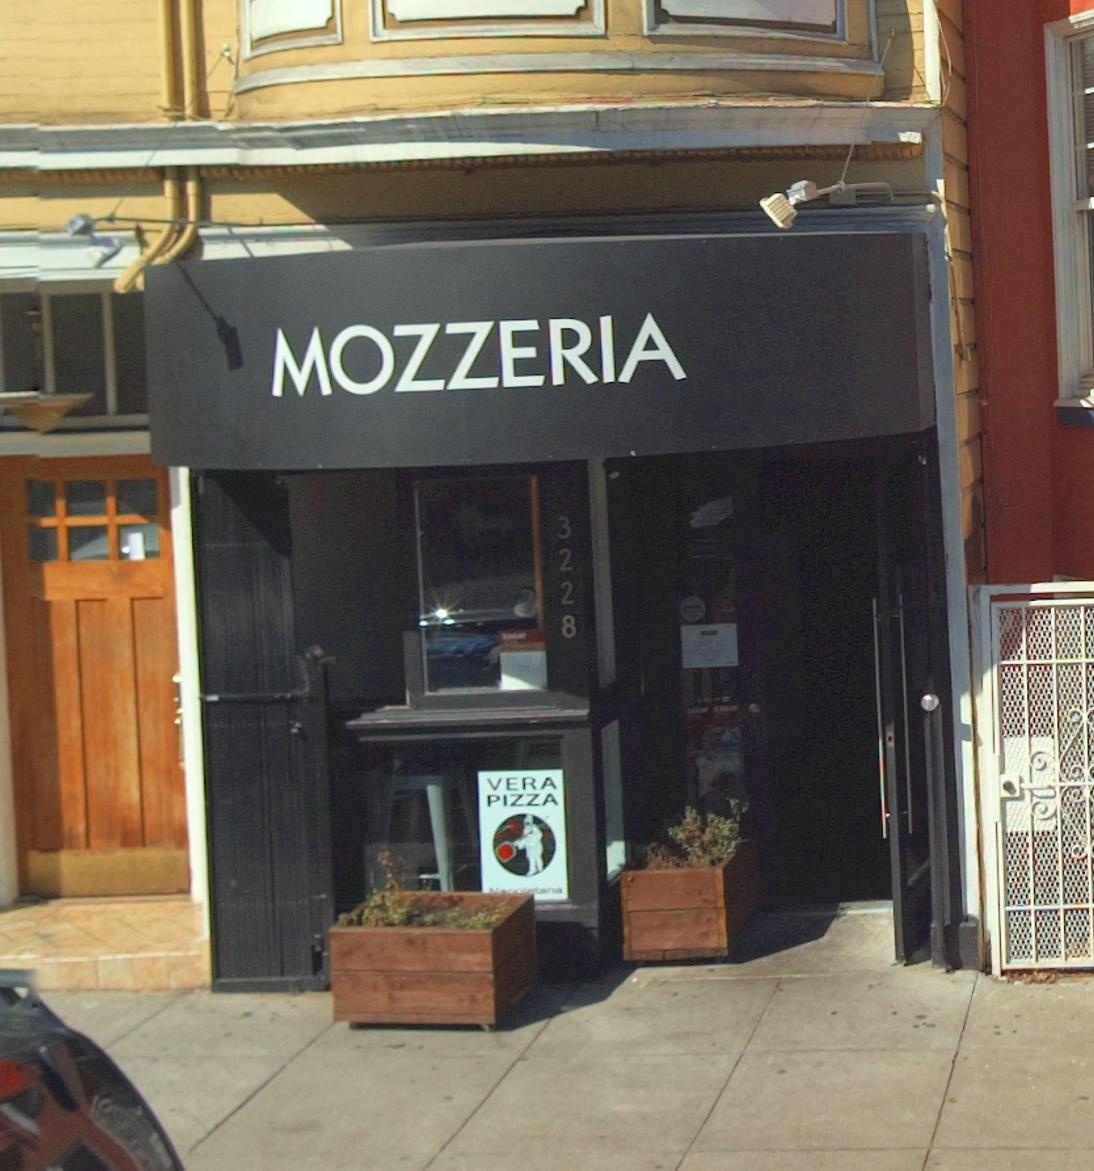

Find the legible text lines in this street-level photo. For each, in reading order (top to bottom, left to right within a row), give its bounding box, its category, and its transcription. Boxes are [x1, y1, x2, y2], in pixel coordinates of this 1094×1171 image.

[269, 310, 694, 398] BusinessName: MOZZERIA
[556, 513, 578, 641] StreetNumber: 3228
[483, 774, 562, 793] None: VERA
[486, 791, 563, 809] None: PIZZA